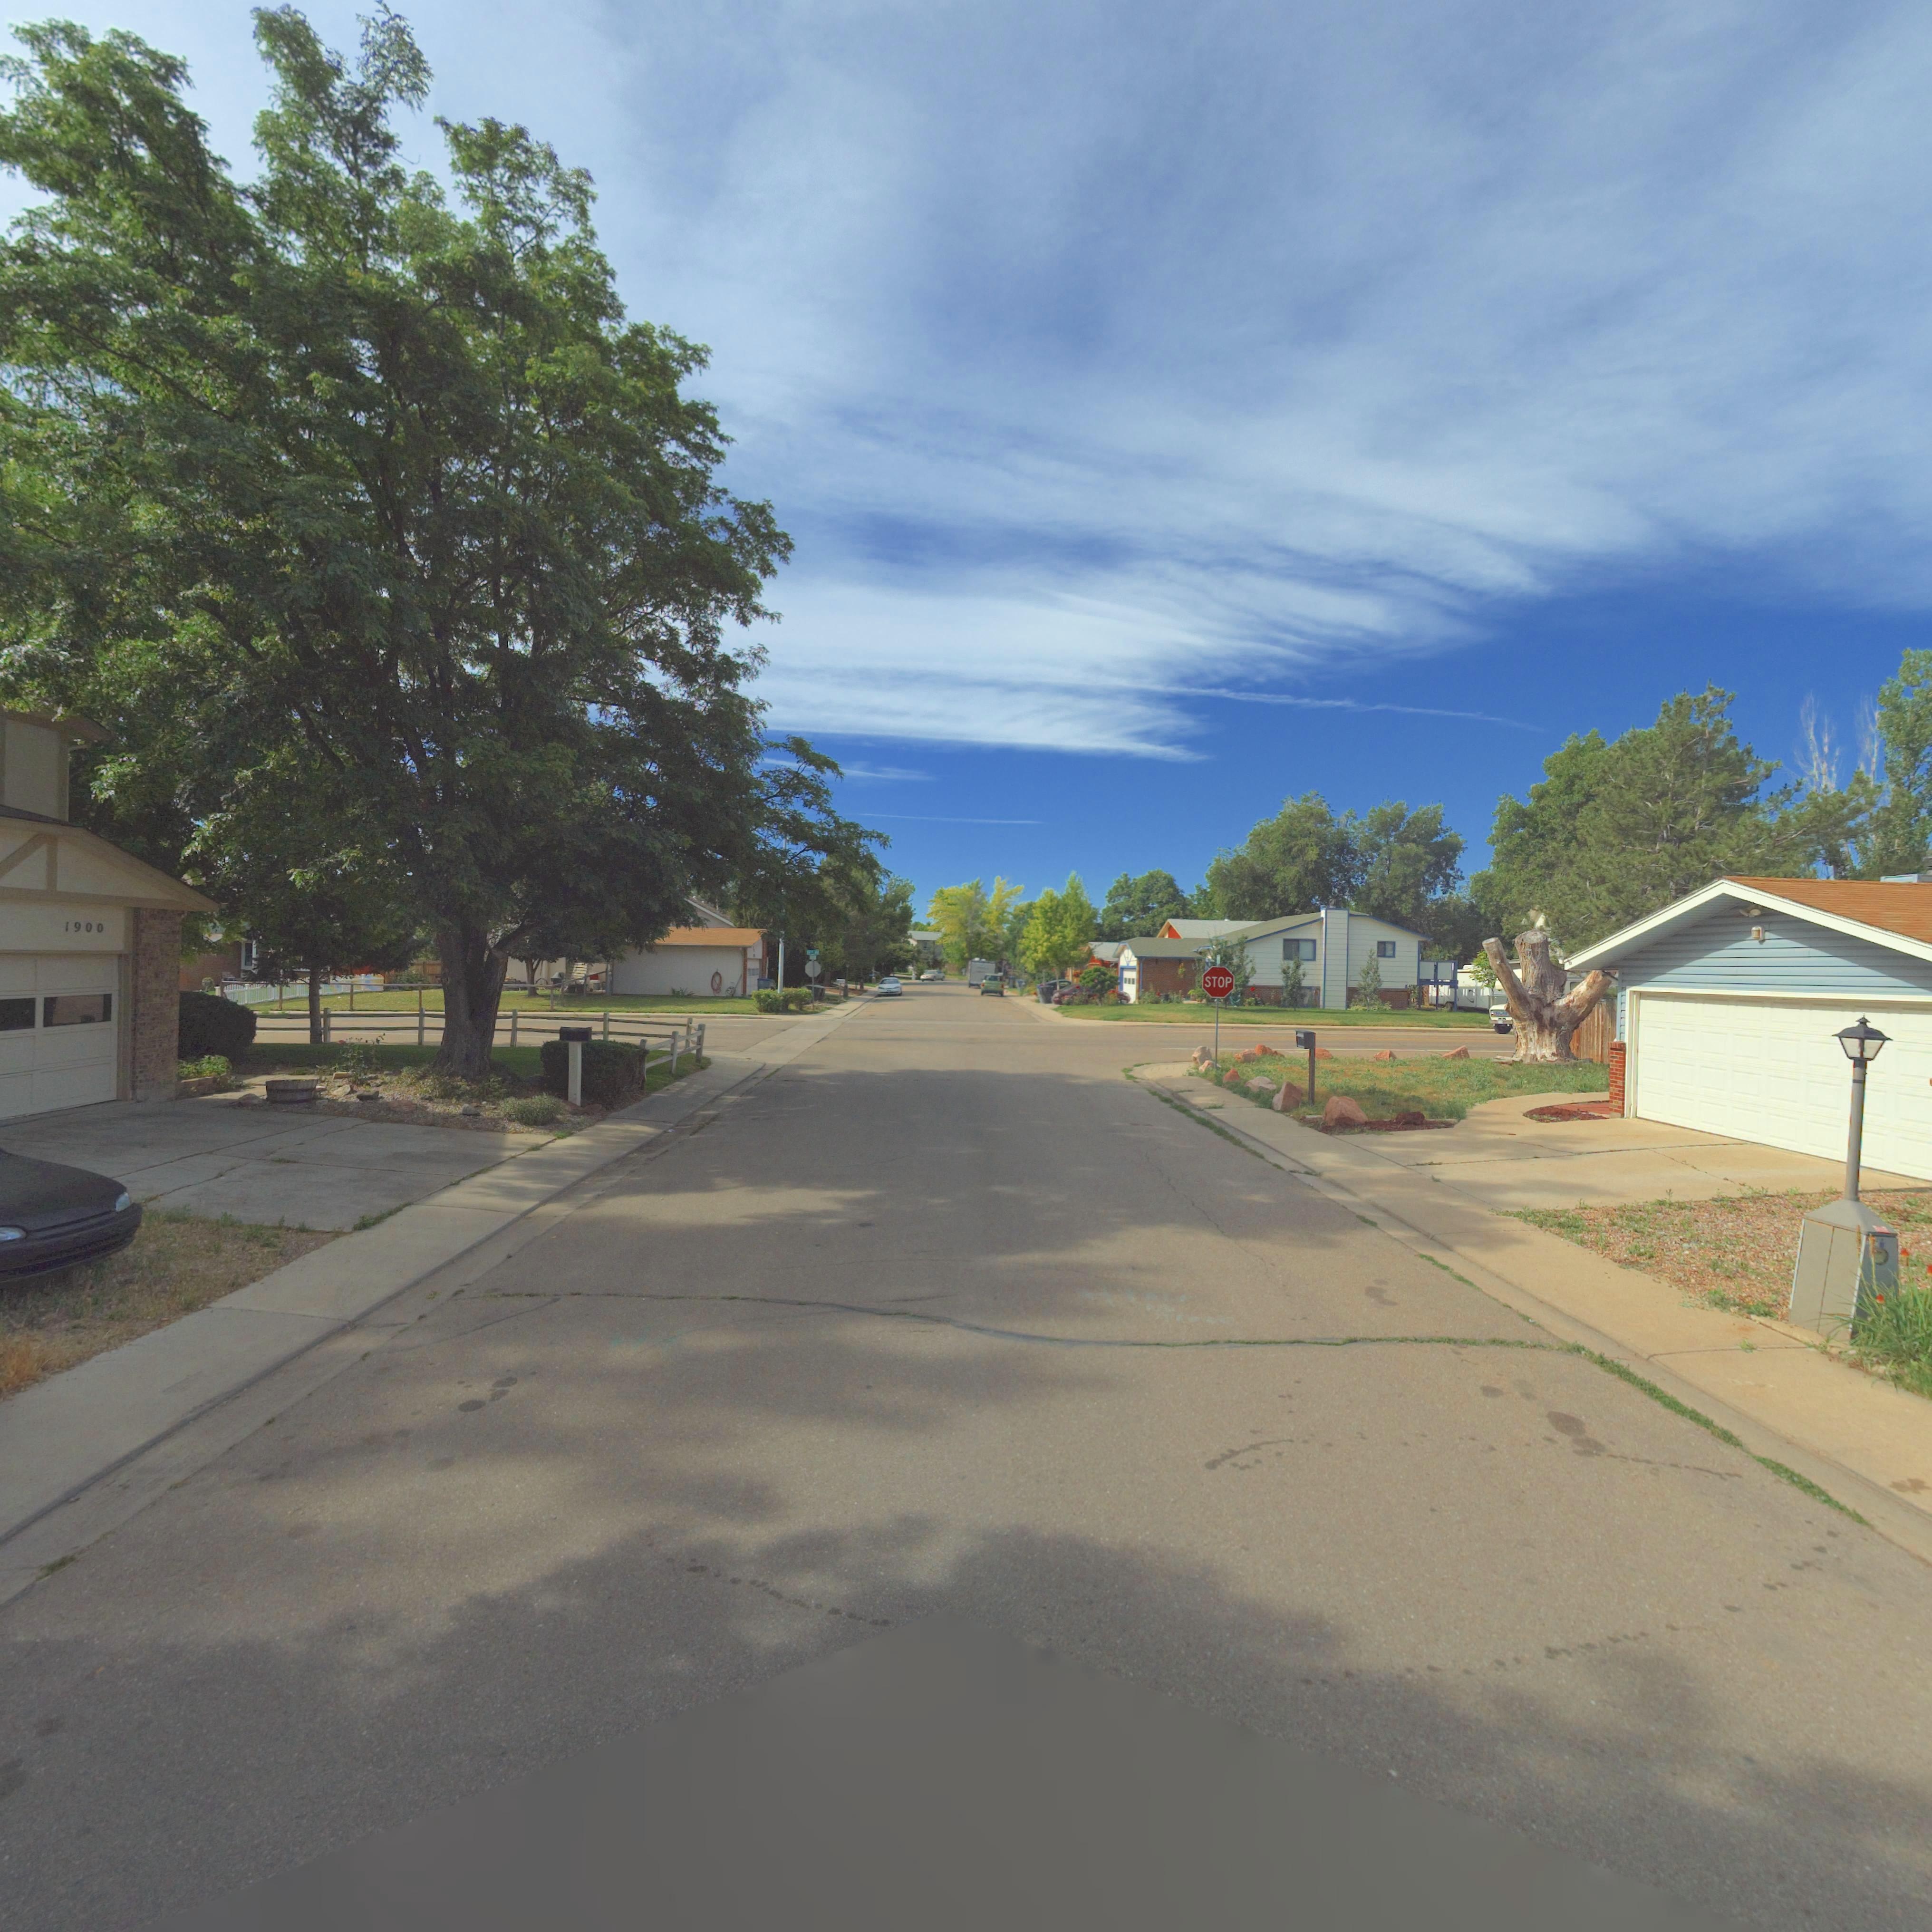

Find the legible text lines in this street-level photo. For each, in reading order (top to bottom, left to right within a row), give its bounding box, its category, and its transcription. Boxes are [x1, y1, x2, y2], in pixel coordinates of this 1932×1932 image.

[65, 921, 104, 933] StreetNumber: 1900